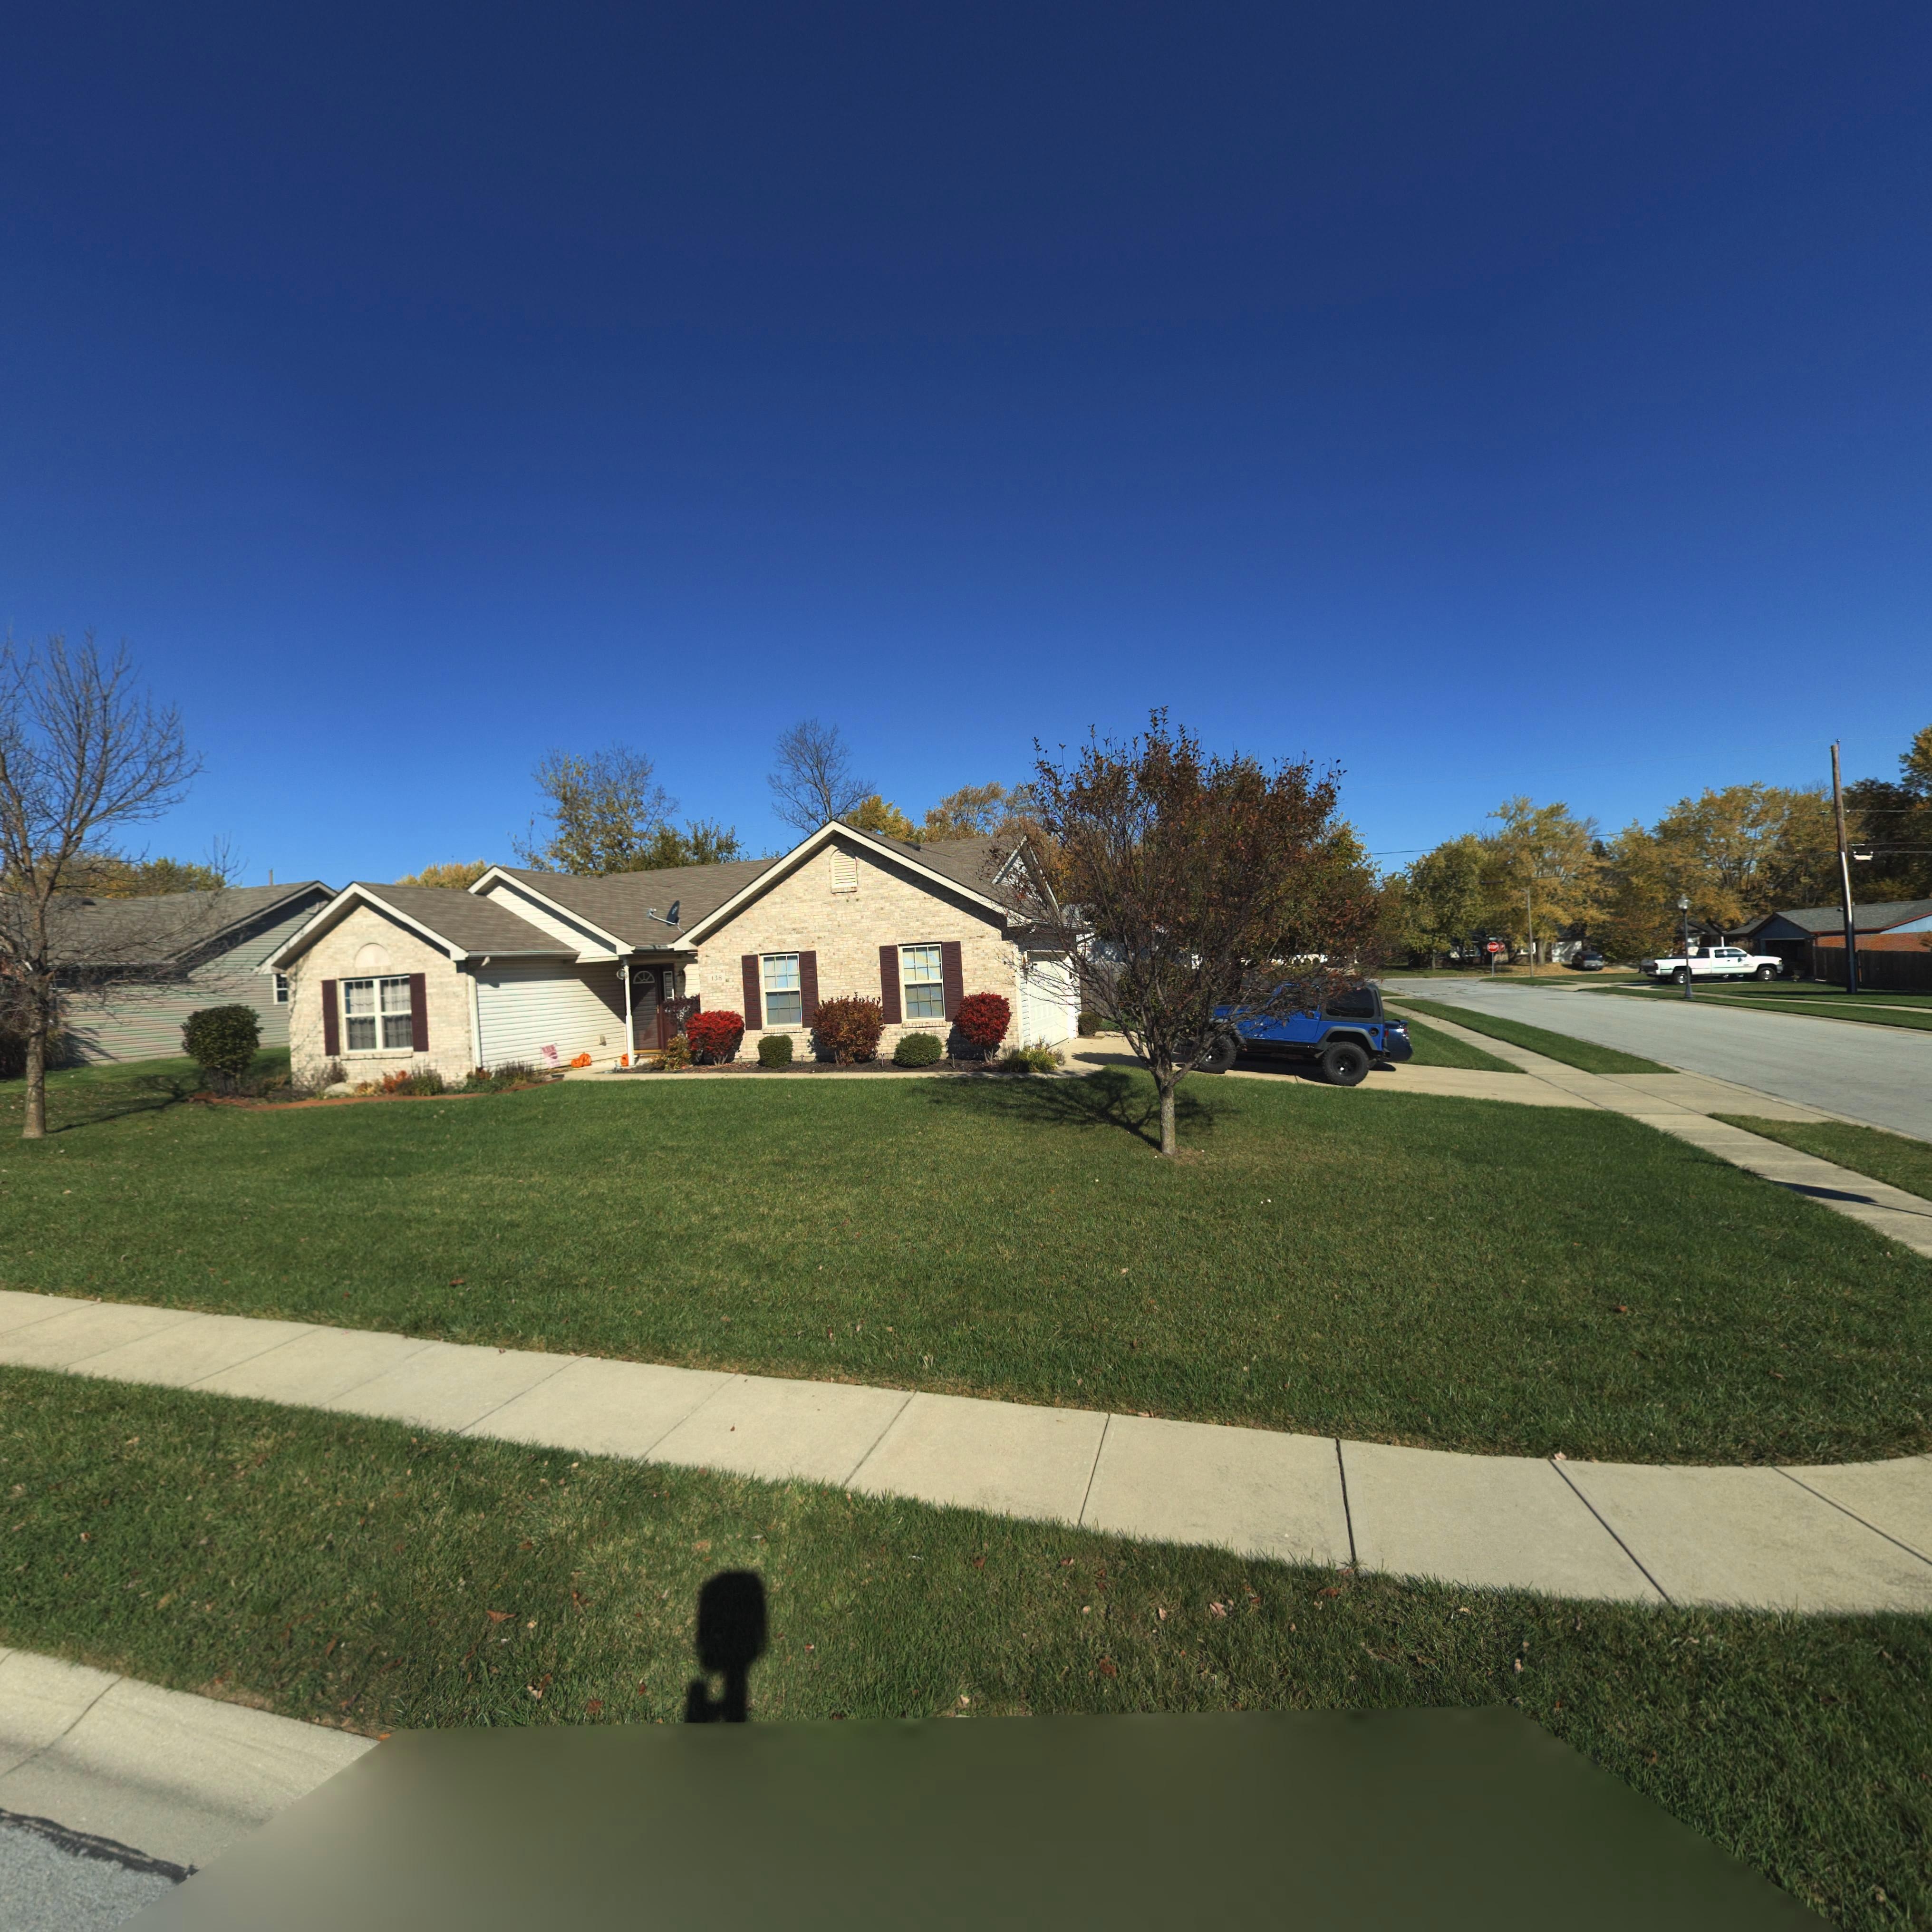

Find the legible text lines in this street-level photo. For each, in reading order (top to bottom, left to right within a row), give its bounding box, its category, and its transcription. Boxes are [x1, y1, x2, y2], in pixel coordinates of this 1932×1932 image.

[711, 975, 722, 981] StreetNumber: 138